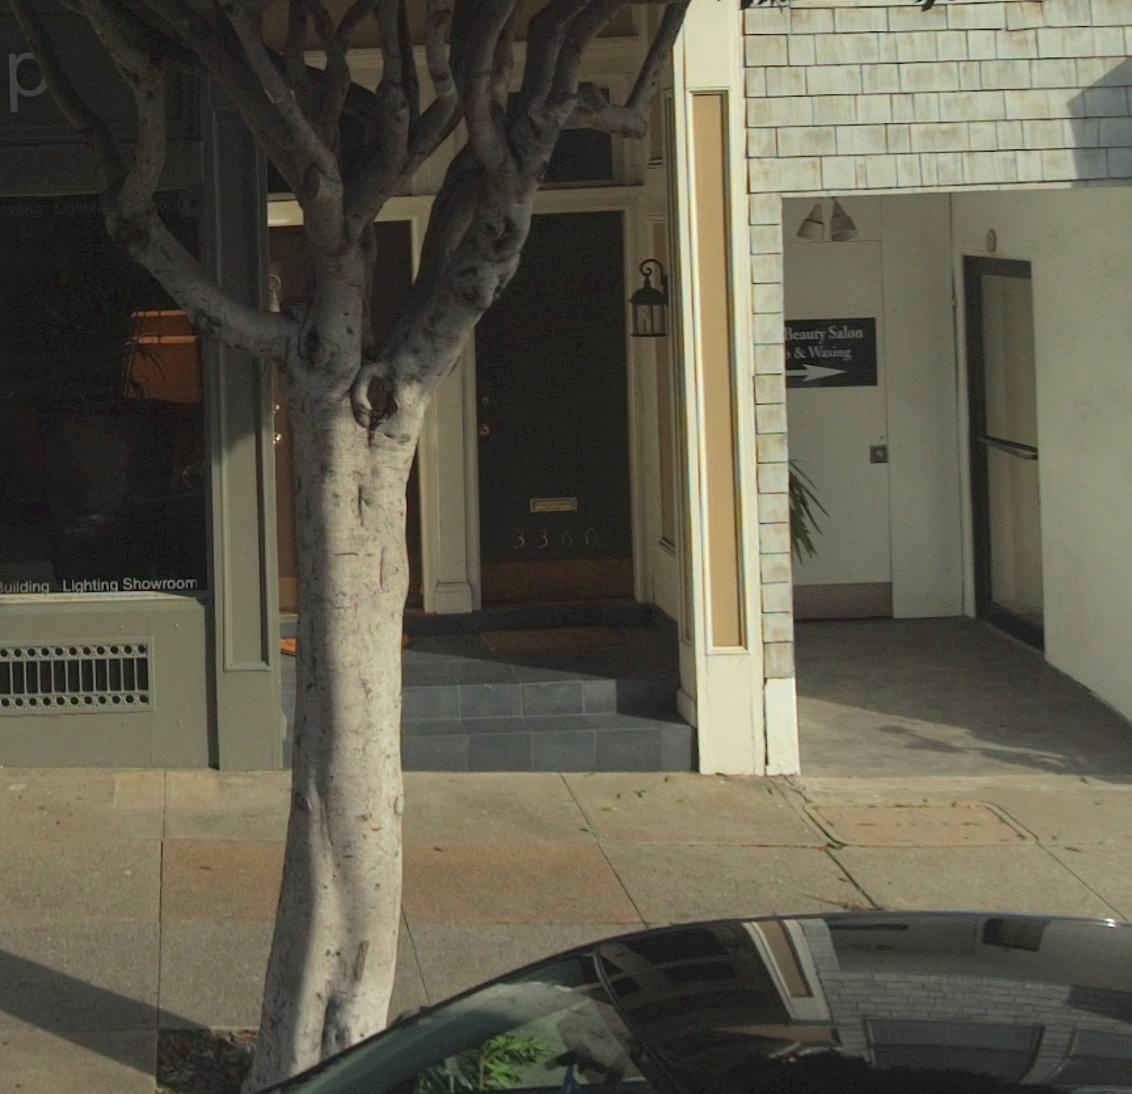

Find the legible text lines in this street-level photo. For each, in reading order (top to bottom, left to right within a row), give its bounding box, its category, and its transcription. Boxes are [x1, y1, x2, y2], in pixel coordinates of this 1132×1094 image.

[780, 322, 866, 346] BusinessName: Beauty Salon
[804, 343, 855, 365] None: Waxing
[511, 525, 599, 551] StreetNumber: 3360
[2, 574, 200, 598] None: uilding Lighting Showroom